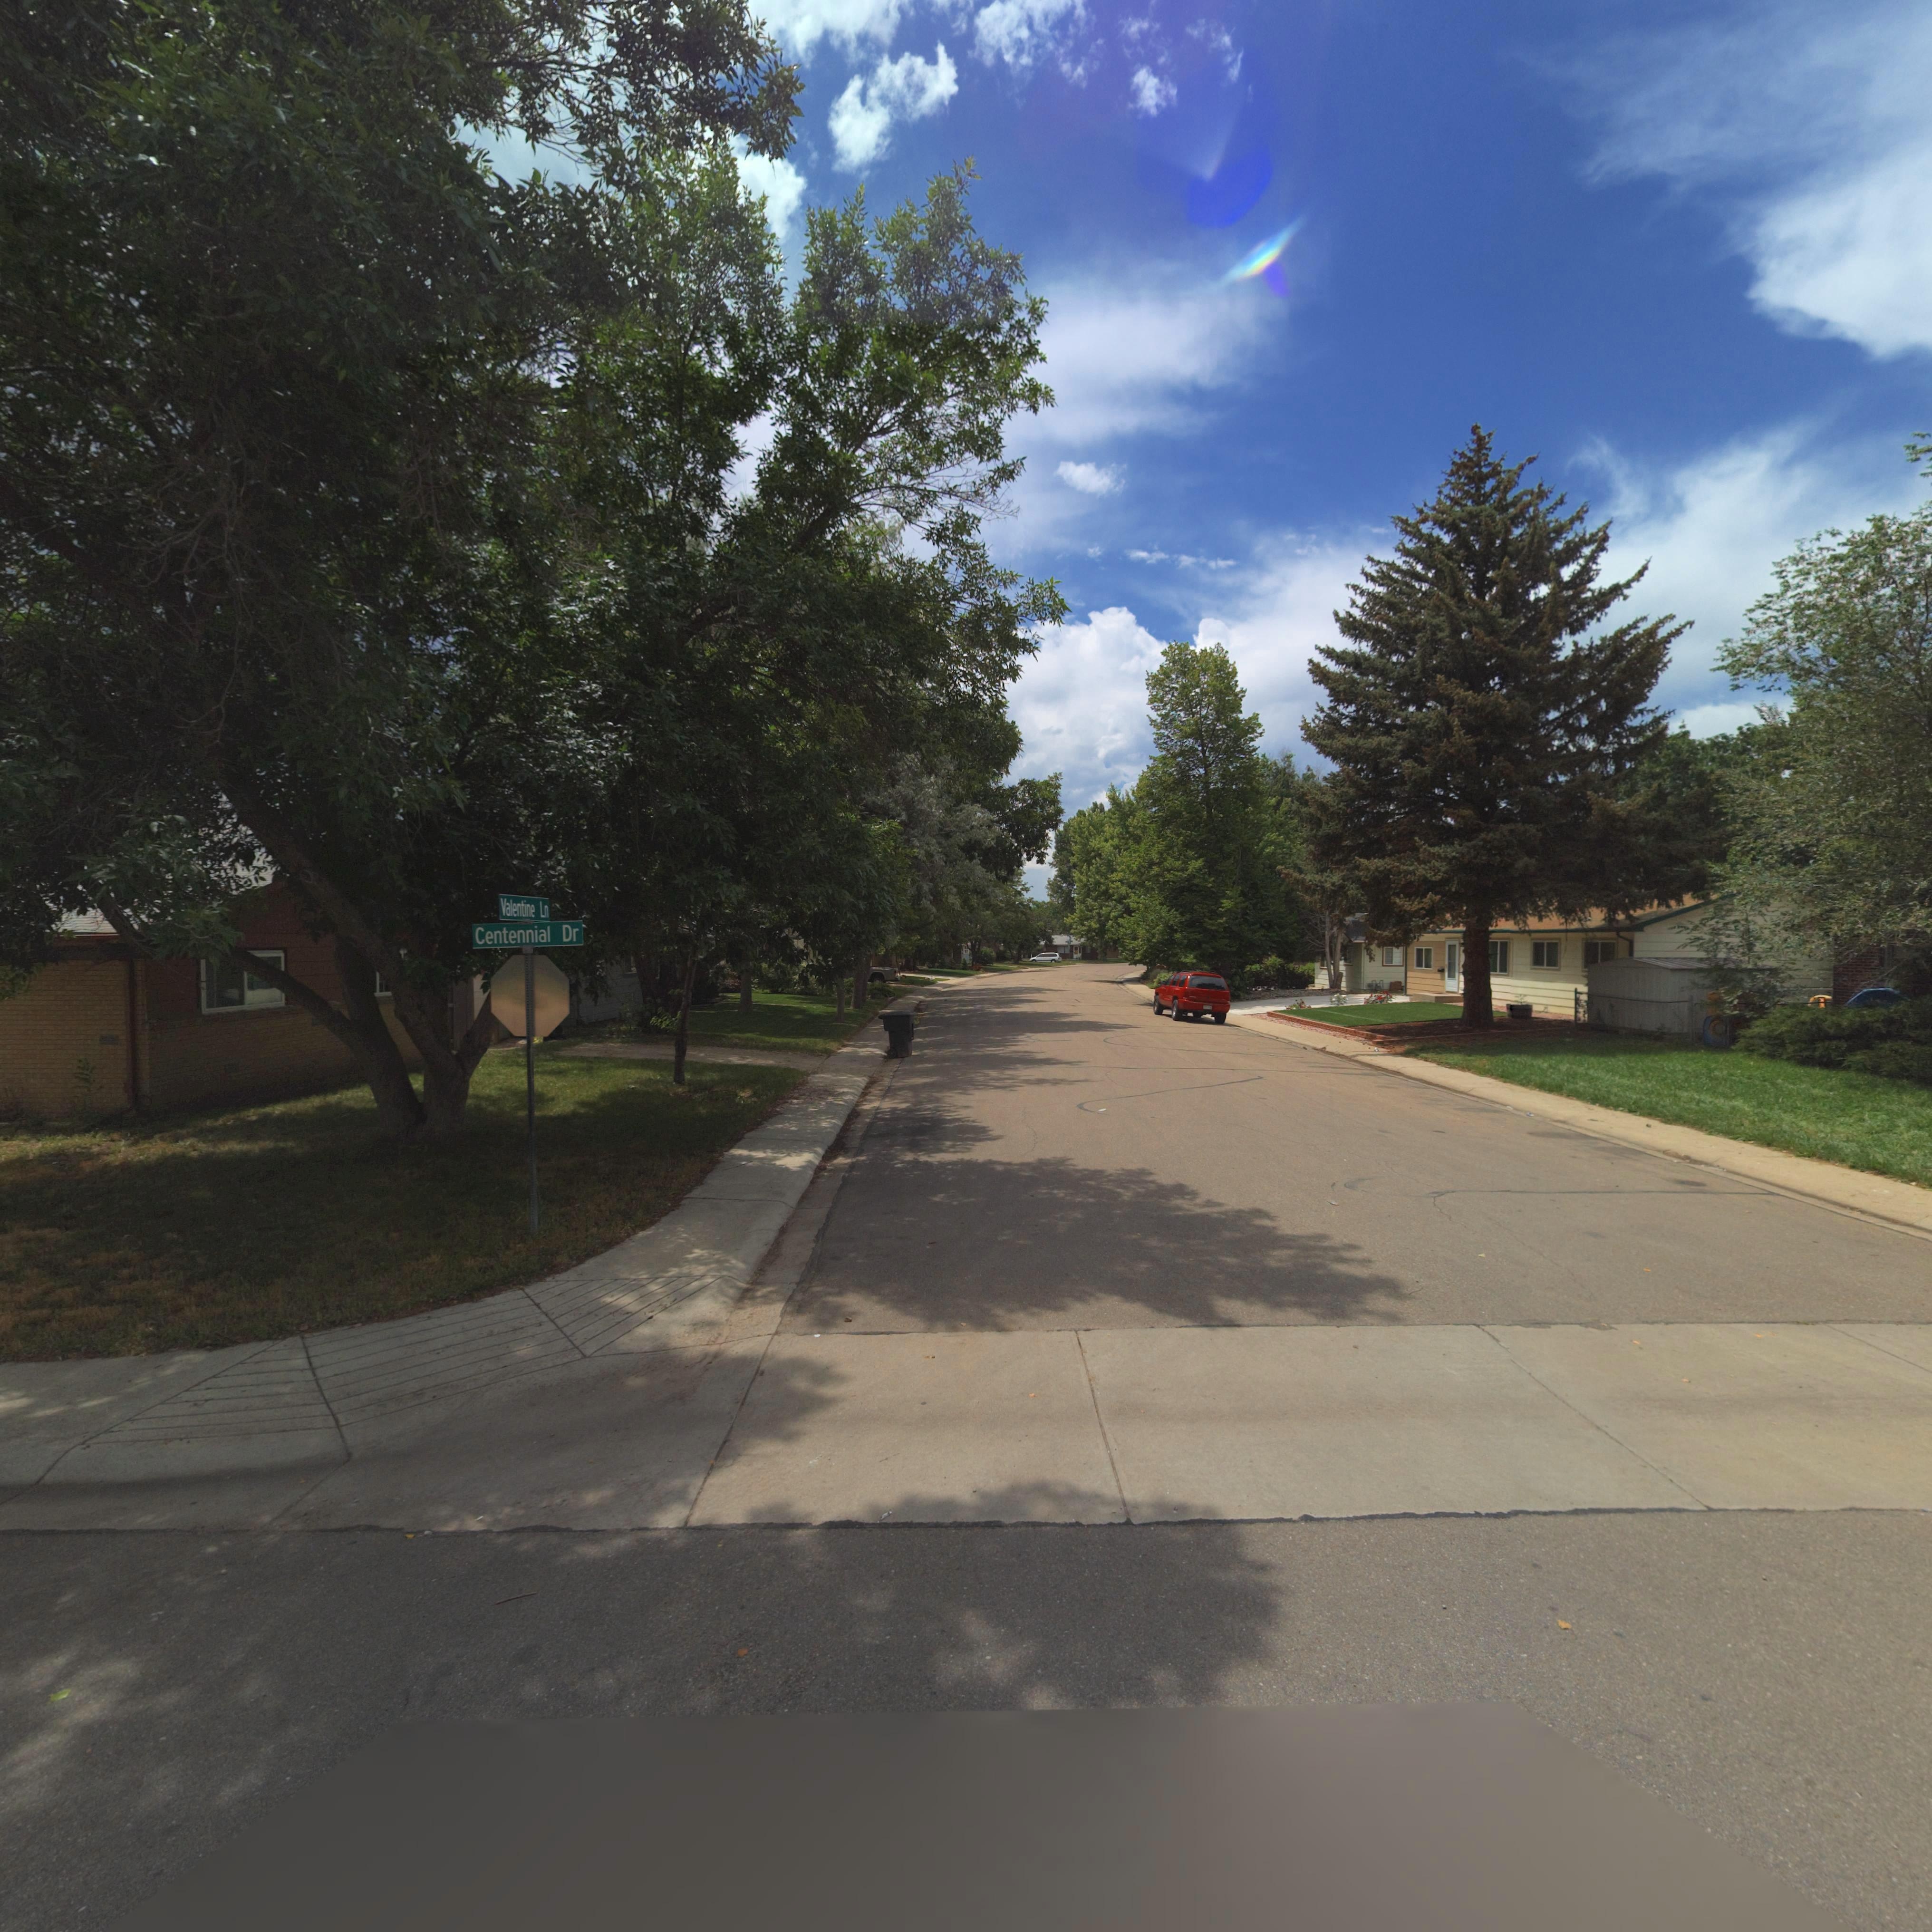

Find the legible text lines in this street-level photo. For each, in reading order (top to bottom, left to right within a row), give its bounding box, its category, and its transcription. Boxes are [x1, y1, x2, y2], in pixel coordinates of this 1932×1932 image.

[499, 898, 549, 918] StreetName: Valentine Ln
[475, 924, 579, 945] BusinessName: Centennial Dr